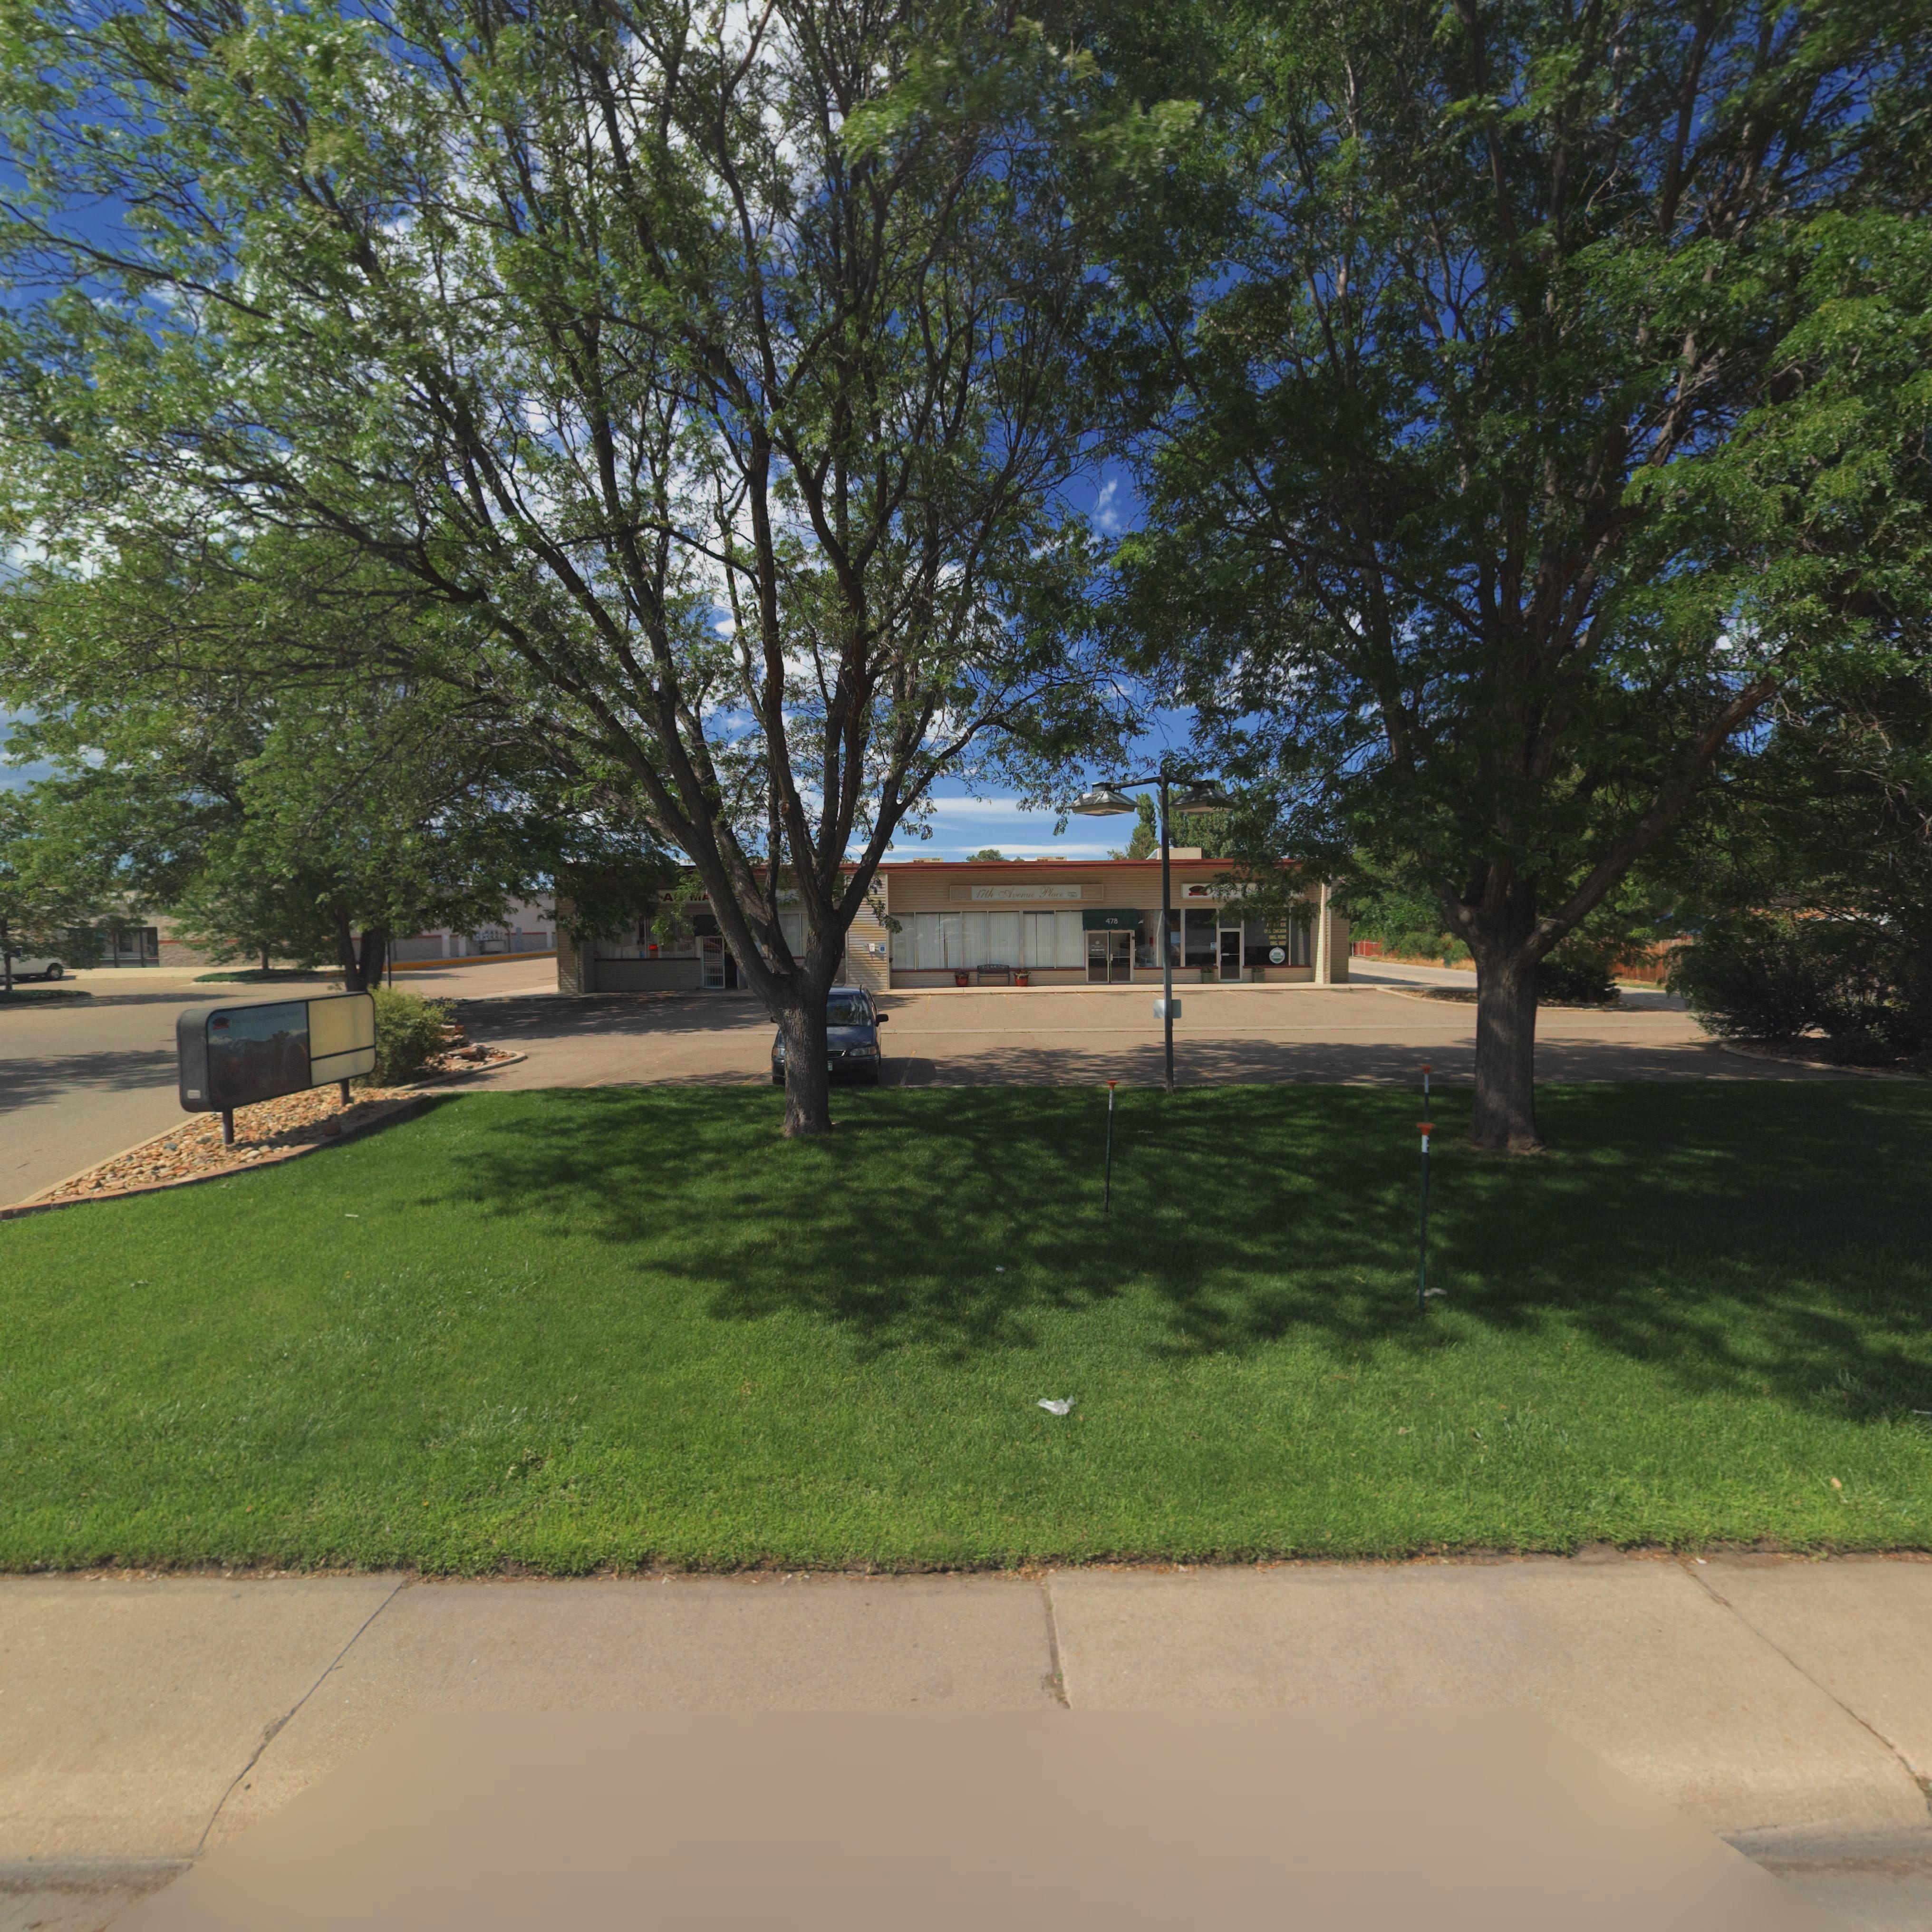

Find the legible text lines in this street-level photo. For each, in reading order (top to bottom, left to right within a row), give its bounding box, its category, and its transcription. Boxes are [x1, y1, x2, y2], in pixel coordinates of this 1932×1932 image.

[975, 885, 1064, 898] BusinessName: 17th Avenue Place
[1210, 887, 1293, 893] BusinessName: ********E N****** *****
[661, 890, 765, 902] BusinessName: A* ****** *
[1105, 917, 1118, 924] StreetNumber: 478
[1223, 915, 1241, 923] StreetNumber: *6*
[713, 923, 725, 929] StreetNumber: 4**
[232, 1010, 303, 1024] BusinessName: F******** N****** *****